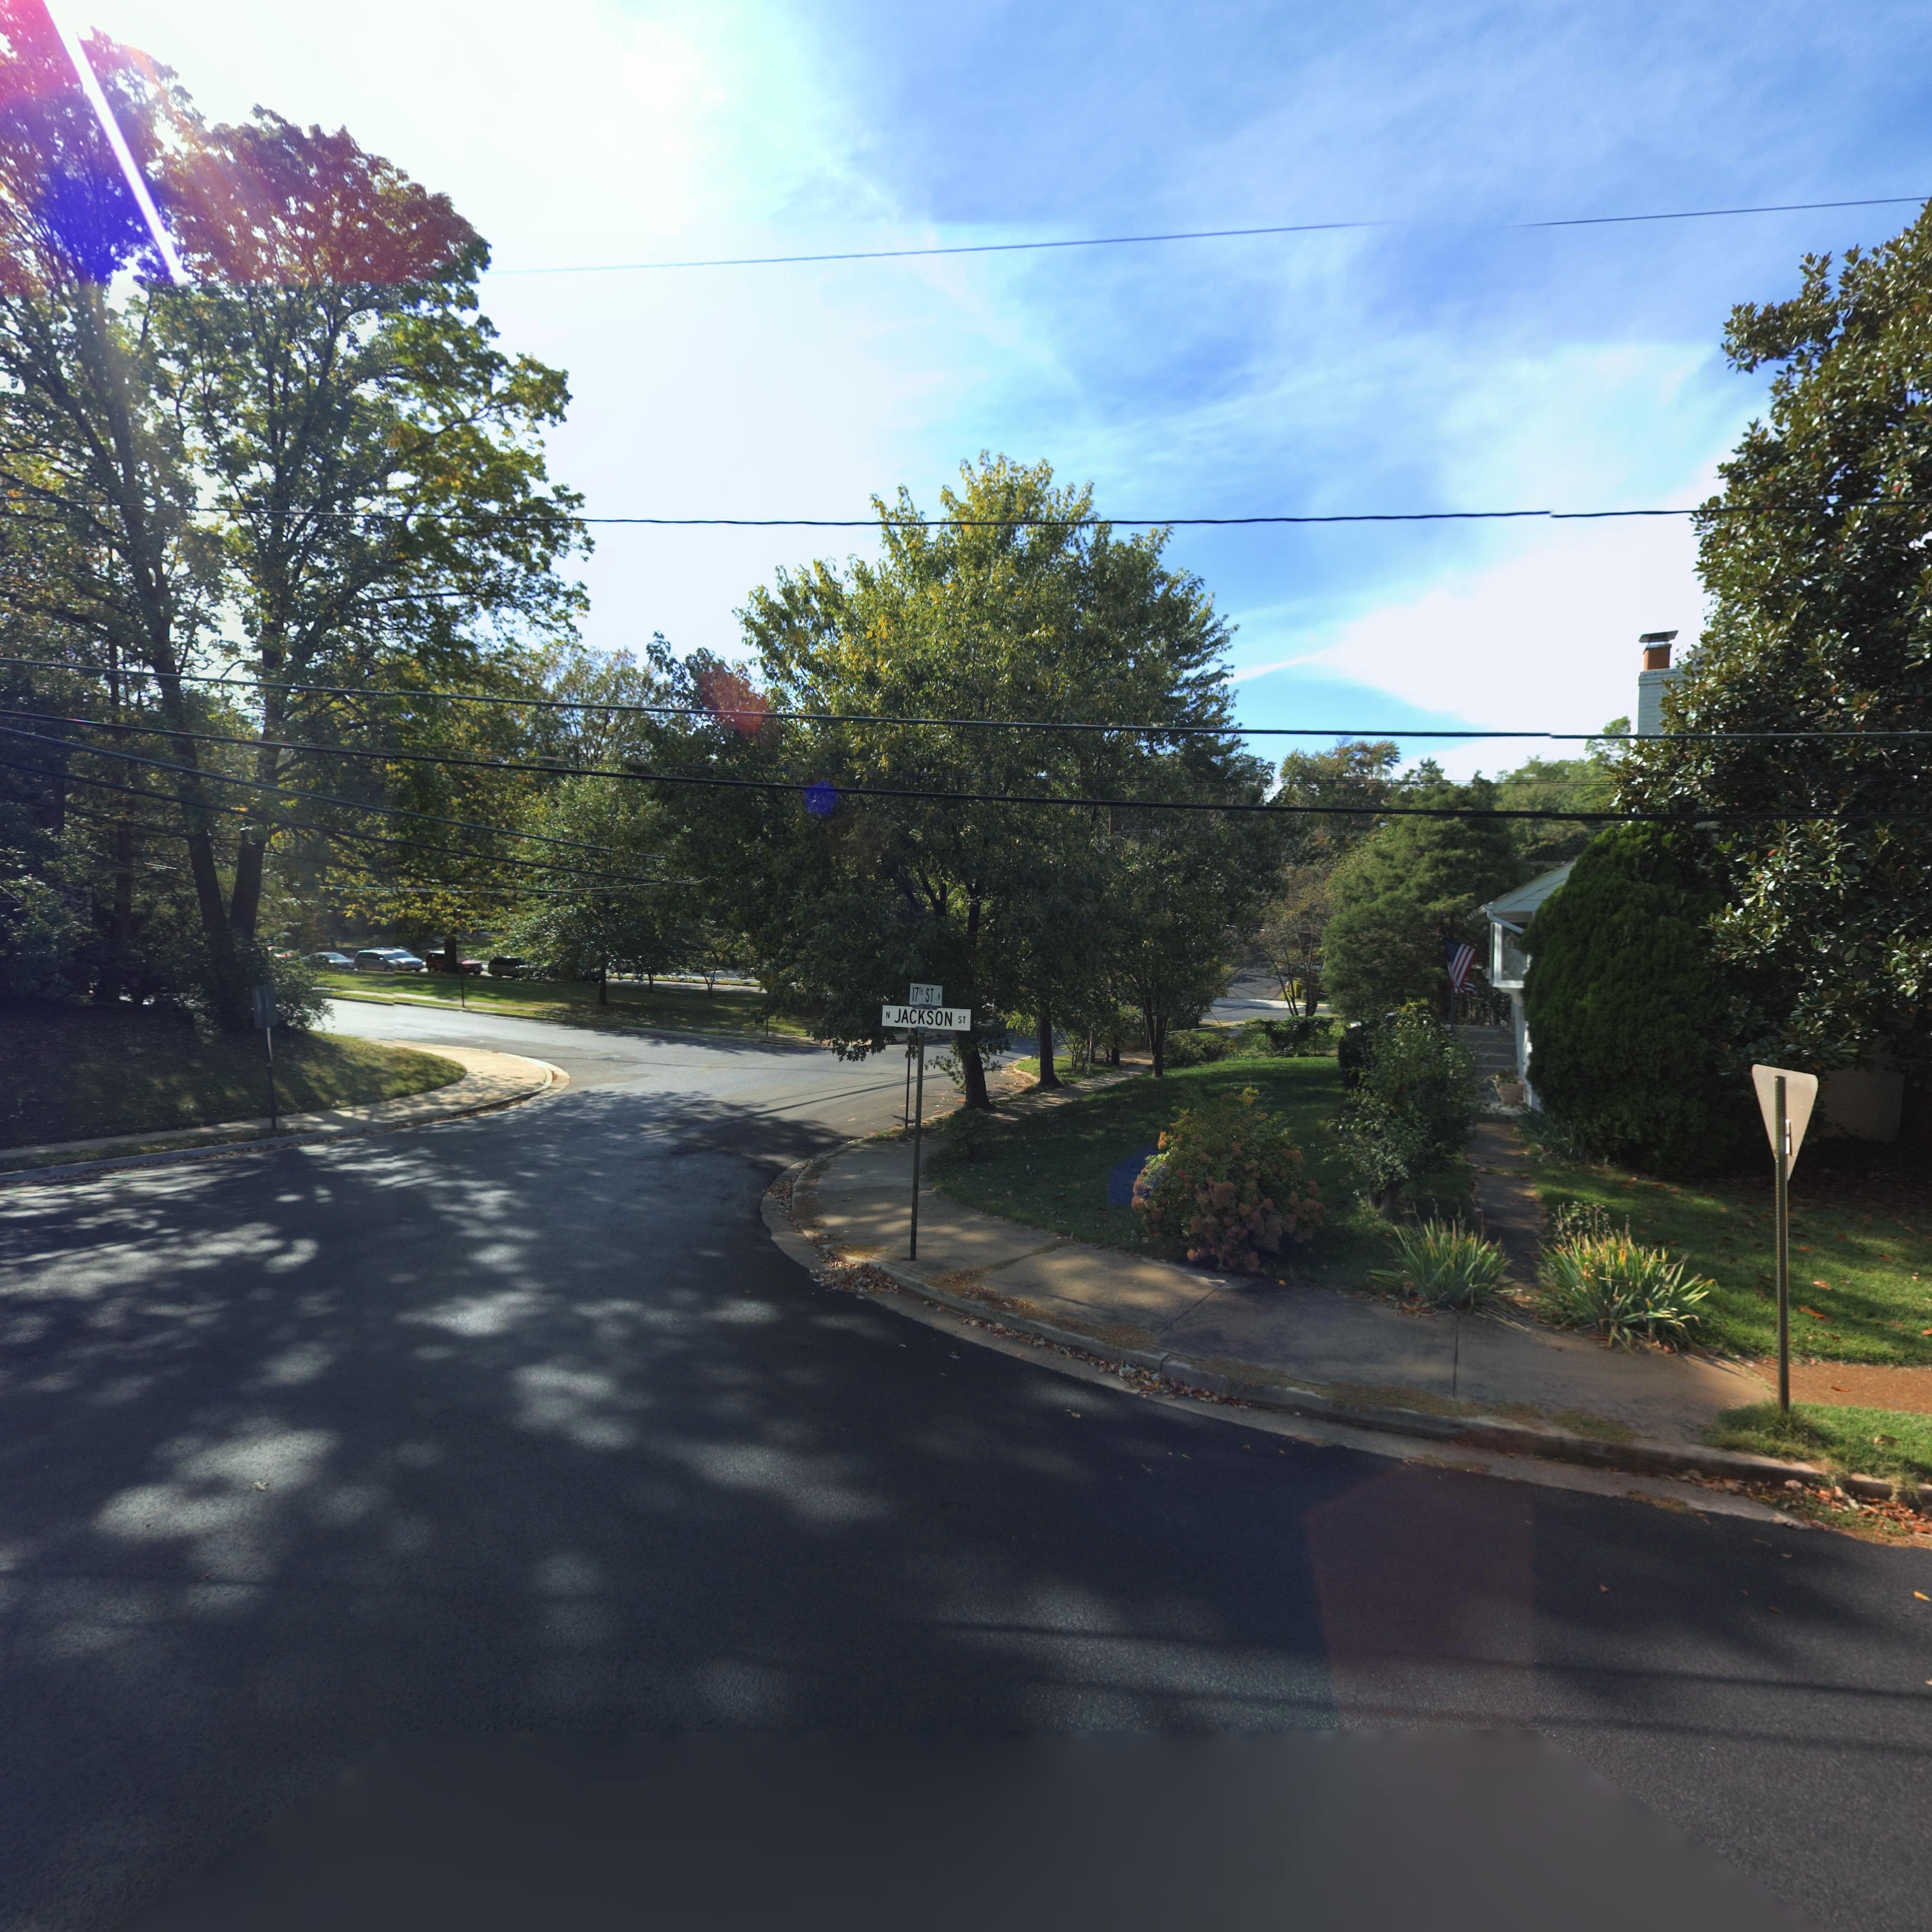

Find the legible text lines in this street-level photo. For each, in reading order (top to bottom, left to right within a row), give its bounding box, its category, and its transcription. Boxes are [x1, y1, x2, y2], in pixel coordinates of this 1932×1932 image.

[911, 985, 942, 1005] StreetName: 17TH ST N
[884, 1007, 968, 1028] StreetName: N JACKSON ST